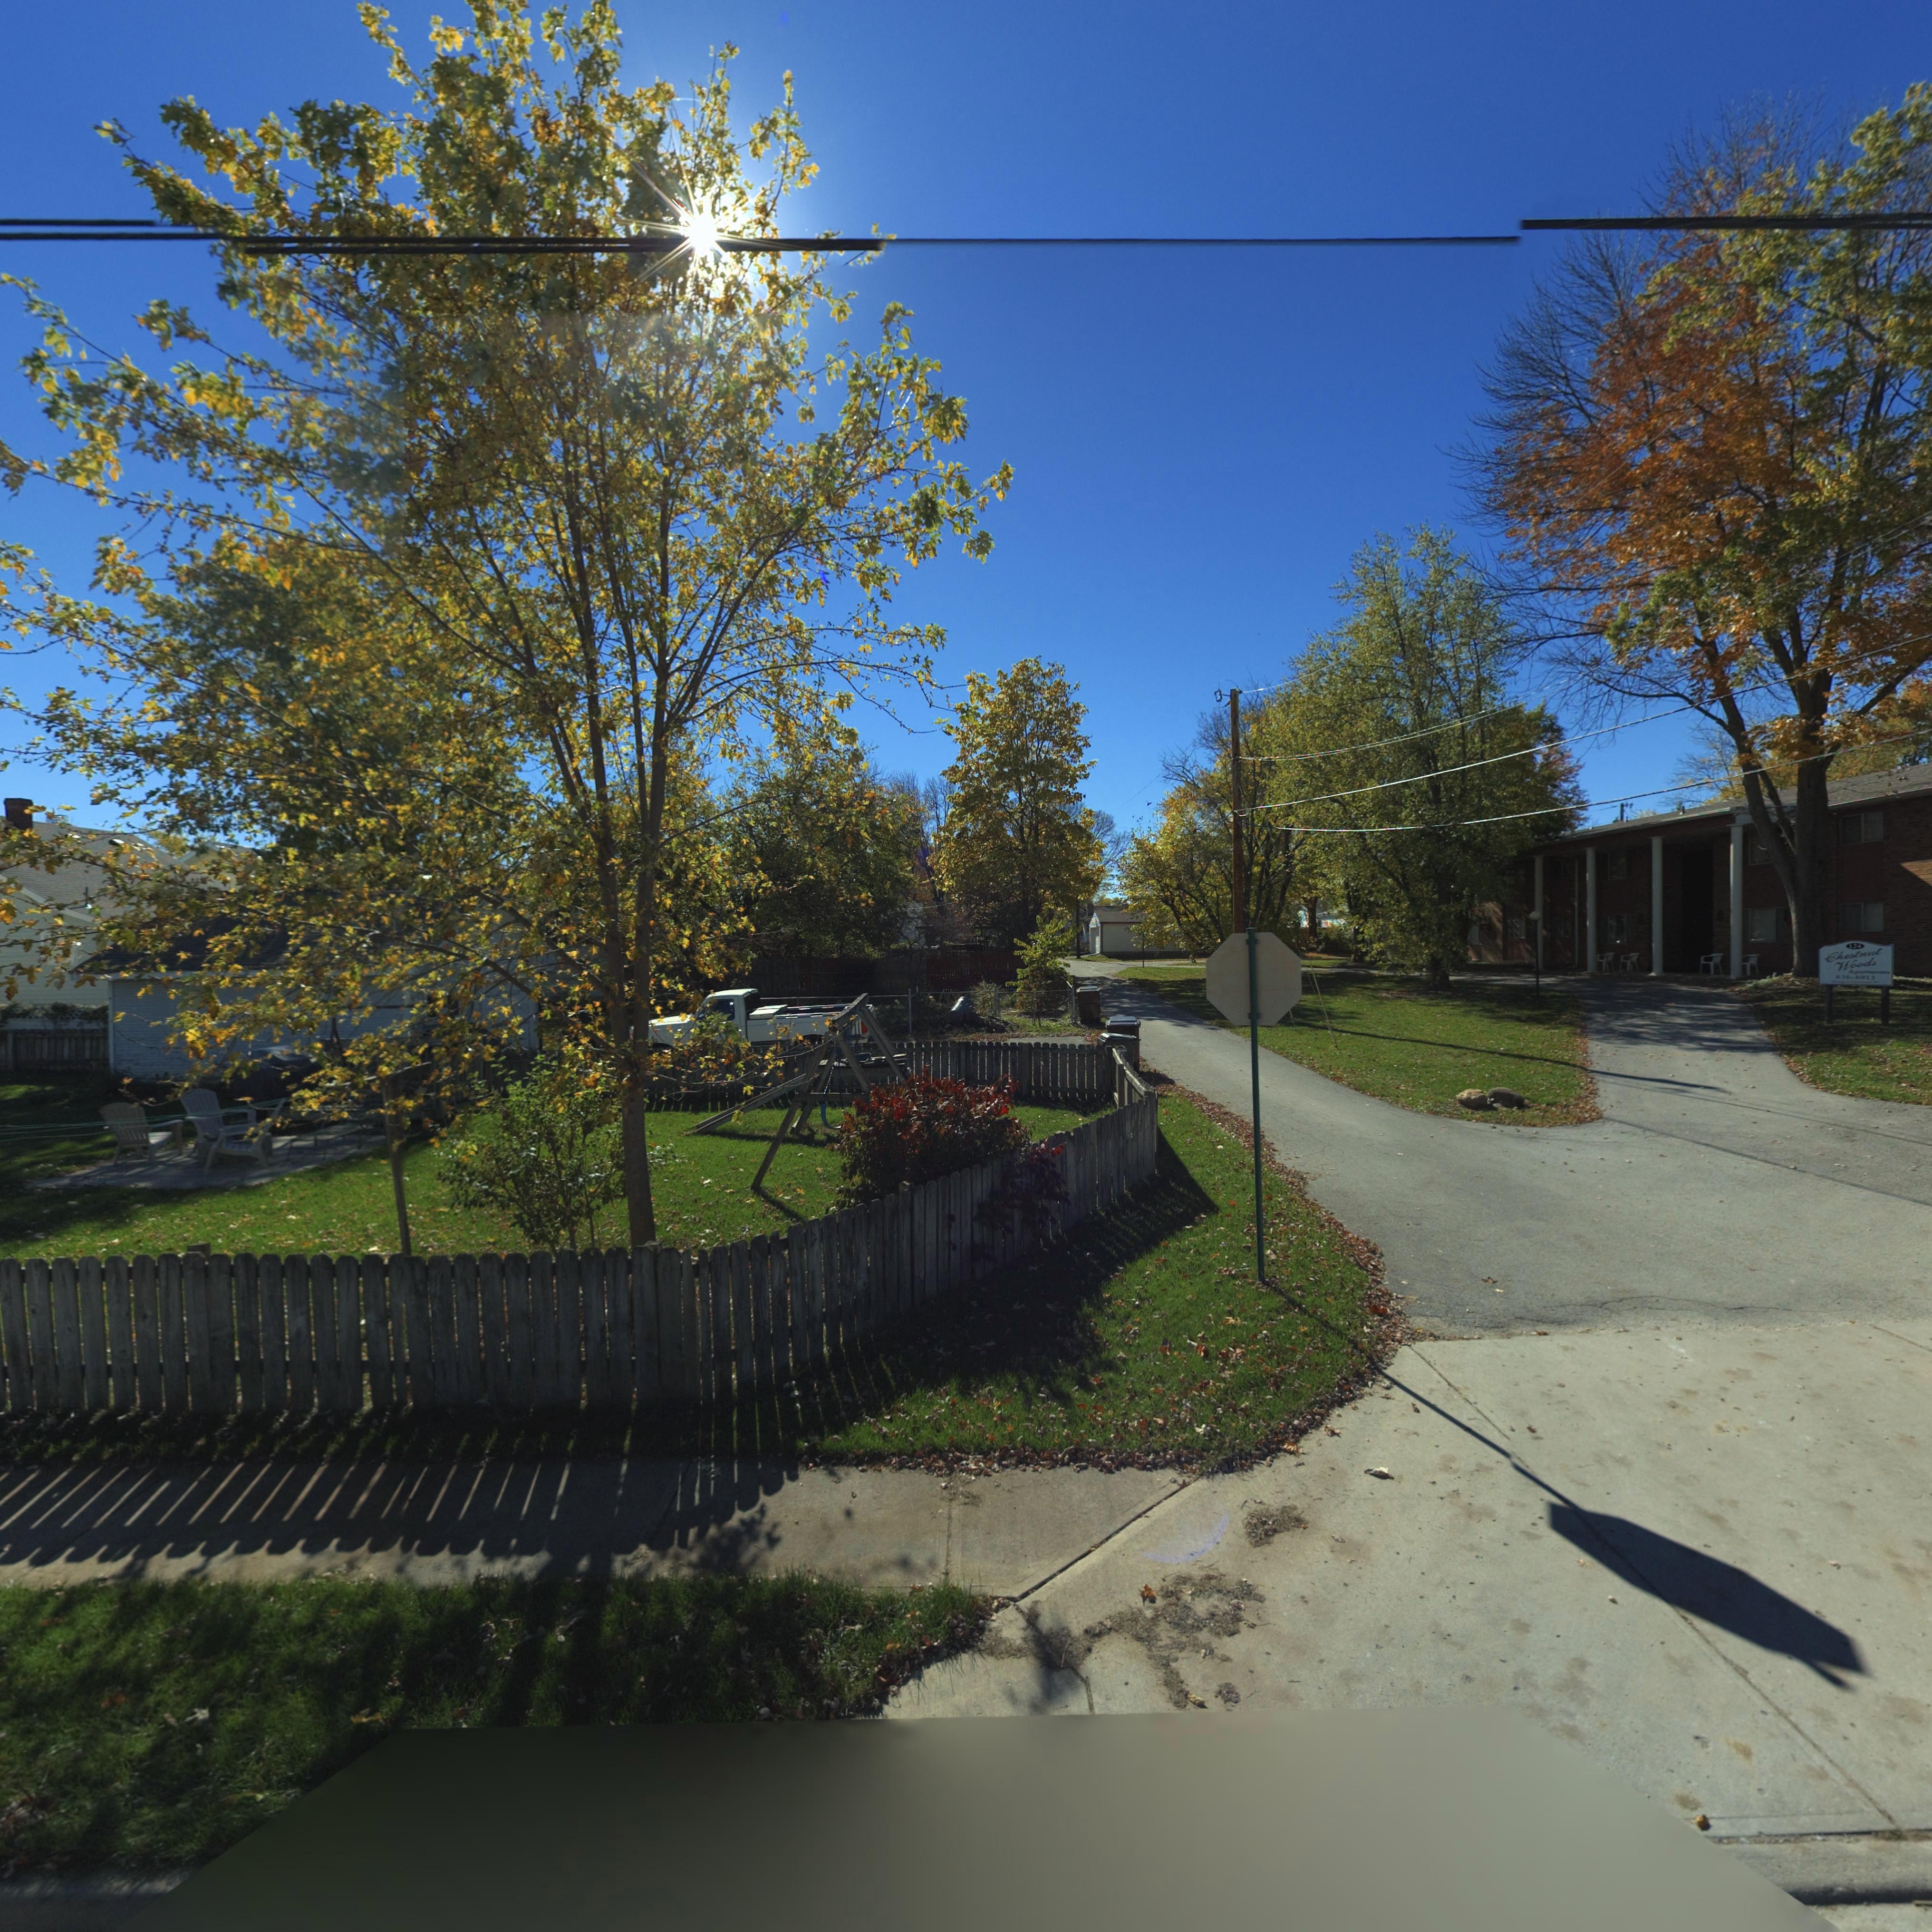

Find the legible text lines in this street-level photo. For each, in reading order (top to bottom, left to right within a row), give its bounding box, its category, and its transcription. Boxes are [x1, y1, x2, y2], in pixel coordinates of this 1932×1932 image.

[1848, 943, 1862, 949] StreetNumber: 1*4
[1825, 947, 1885, 963] None: Chestnut
[1835, 956, 1878, 973] None: Woods